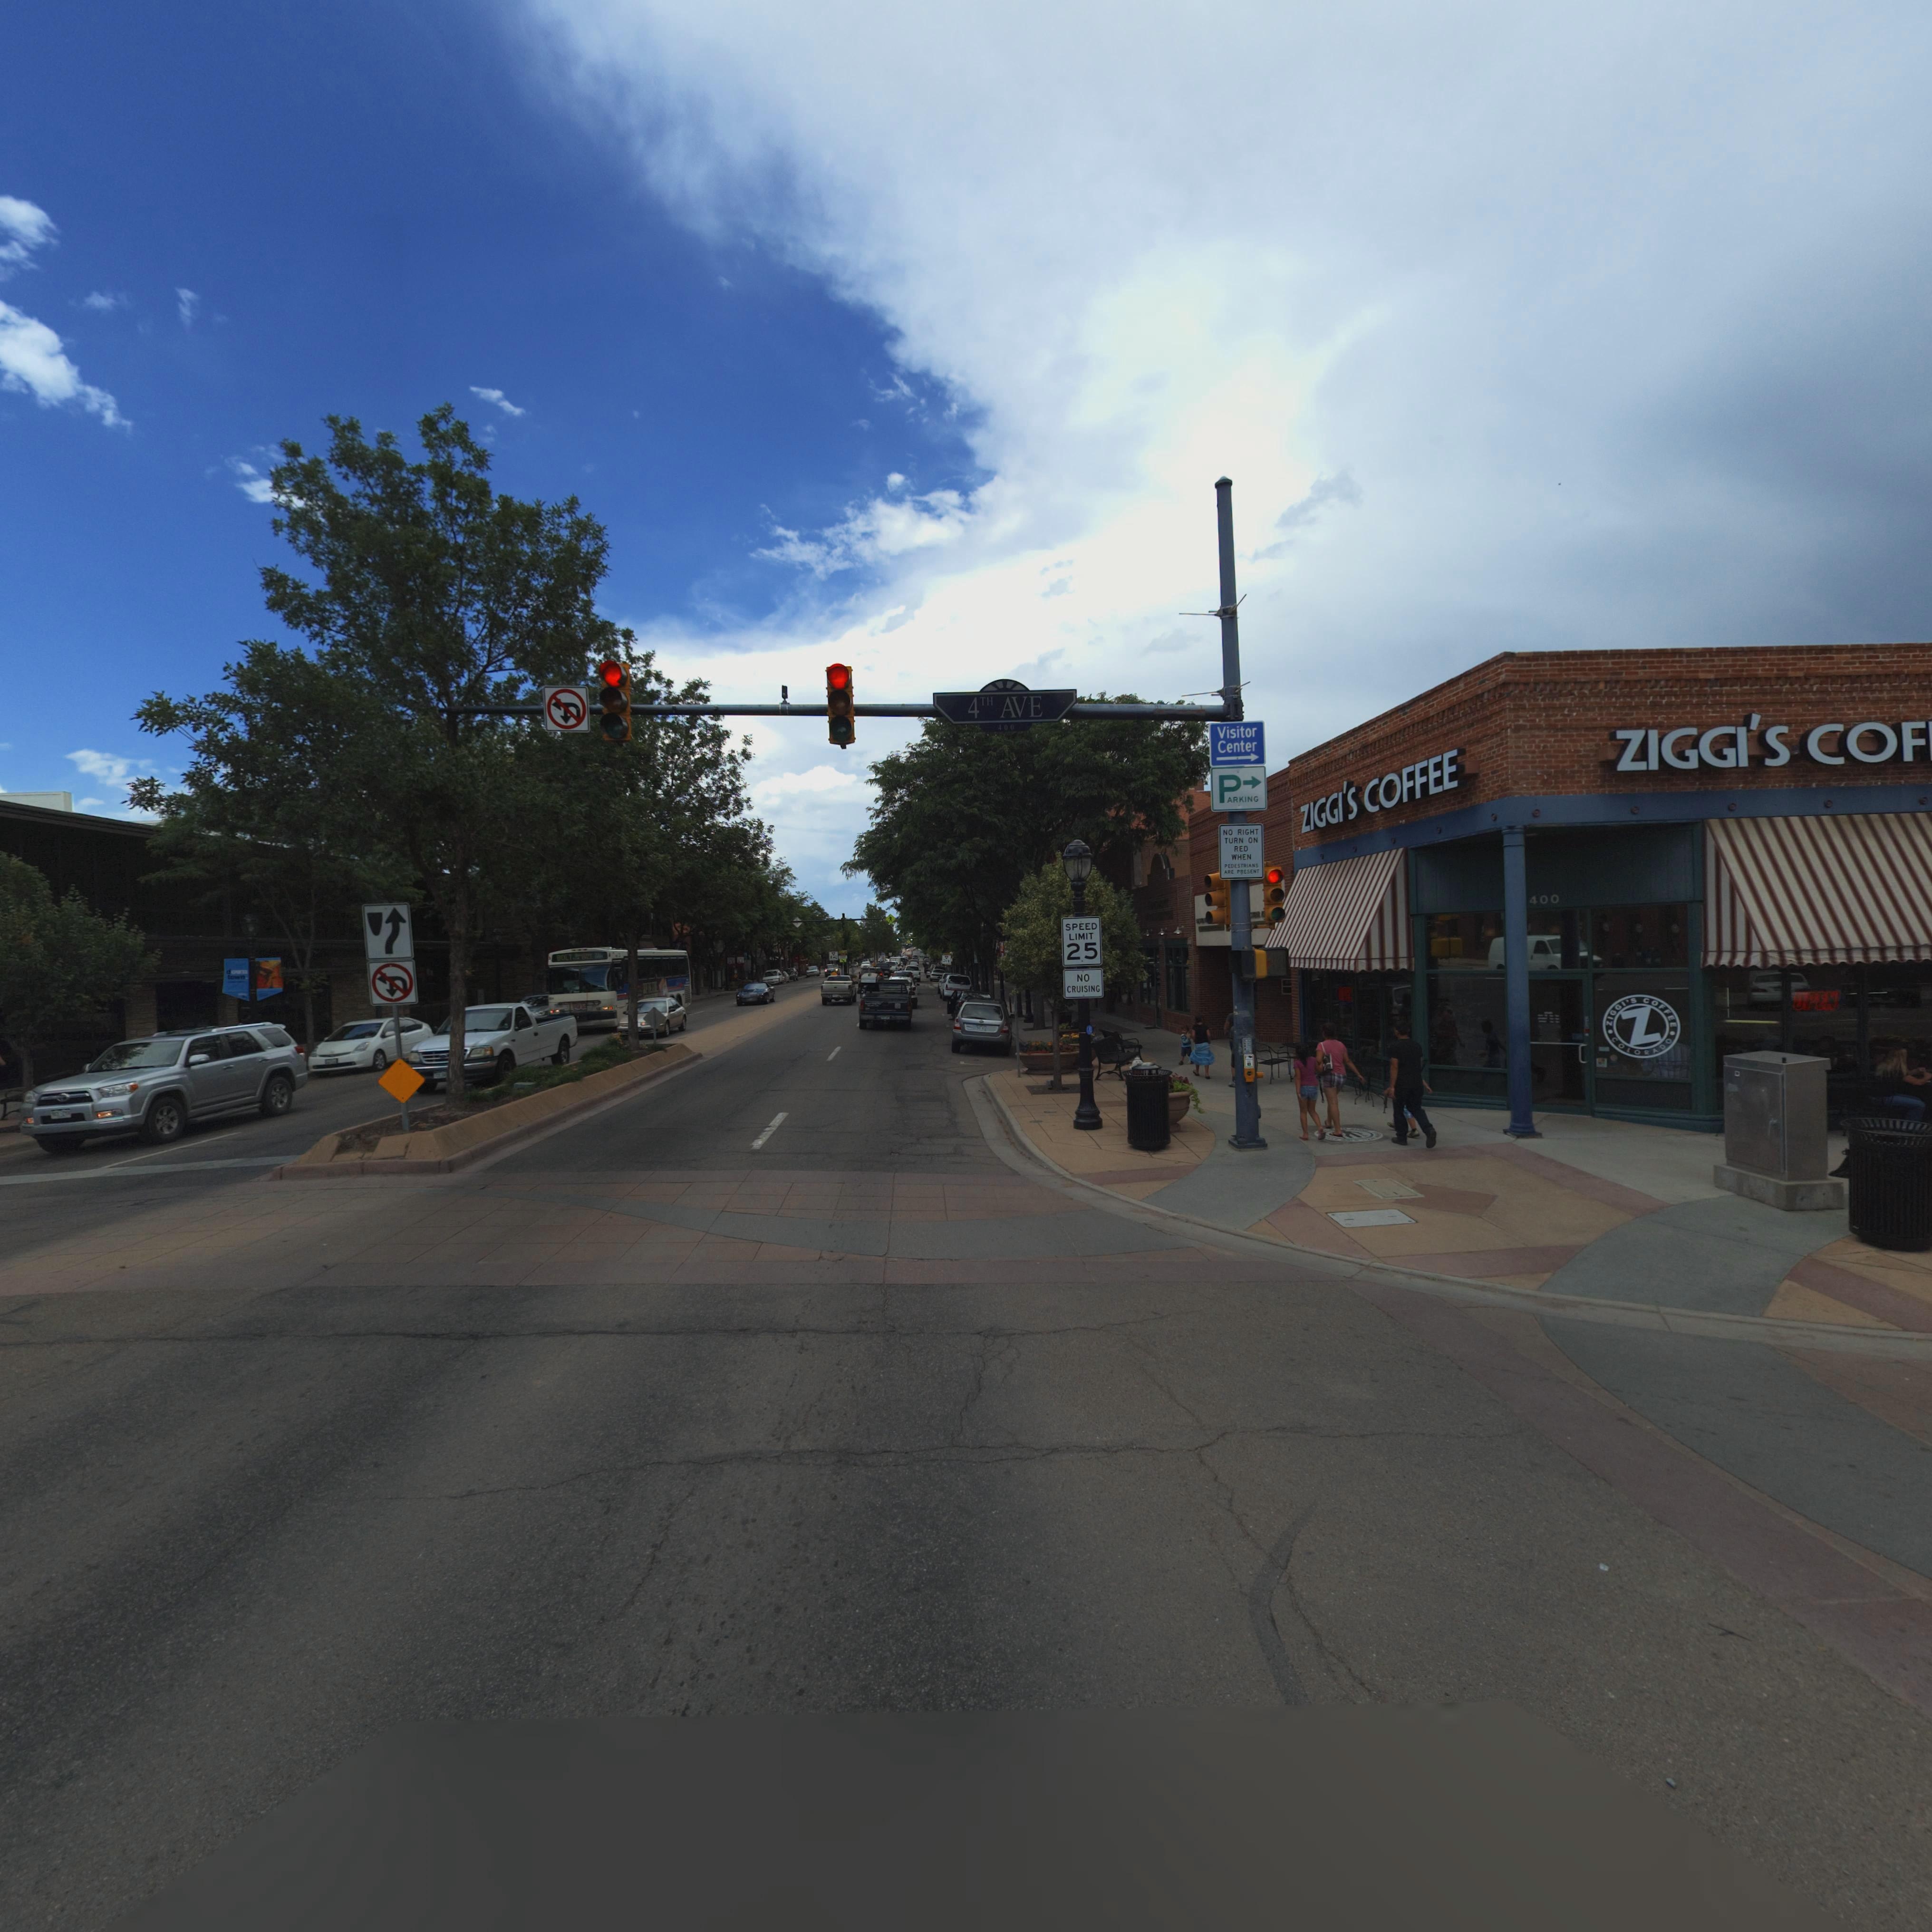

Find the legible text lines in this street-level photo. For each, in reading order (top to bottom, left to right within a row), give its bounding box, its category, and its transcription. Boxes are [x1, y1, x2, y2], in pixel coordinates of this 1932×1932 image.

[967, 696, 1043, 718] StreetName: 4TH AVE
[997, 724, 1014, 731] StreetNumber: 400
[1610, 713, 1927, 773] BusinessName: ZIGGI'S COF
[1300, 746, 1465, 834] BusinessName: ZIGGI'S COFFEE
[1529, 895, 1559, 905] StreetNumber: 400
[1605, 997, 1677, 1026] BusinessName: ZIGGI'S COFFEE